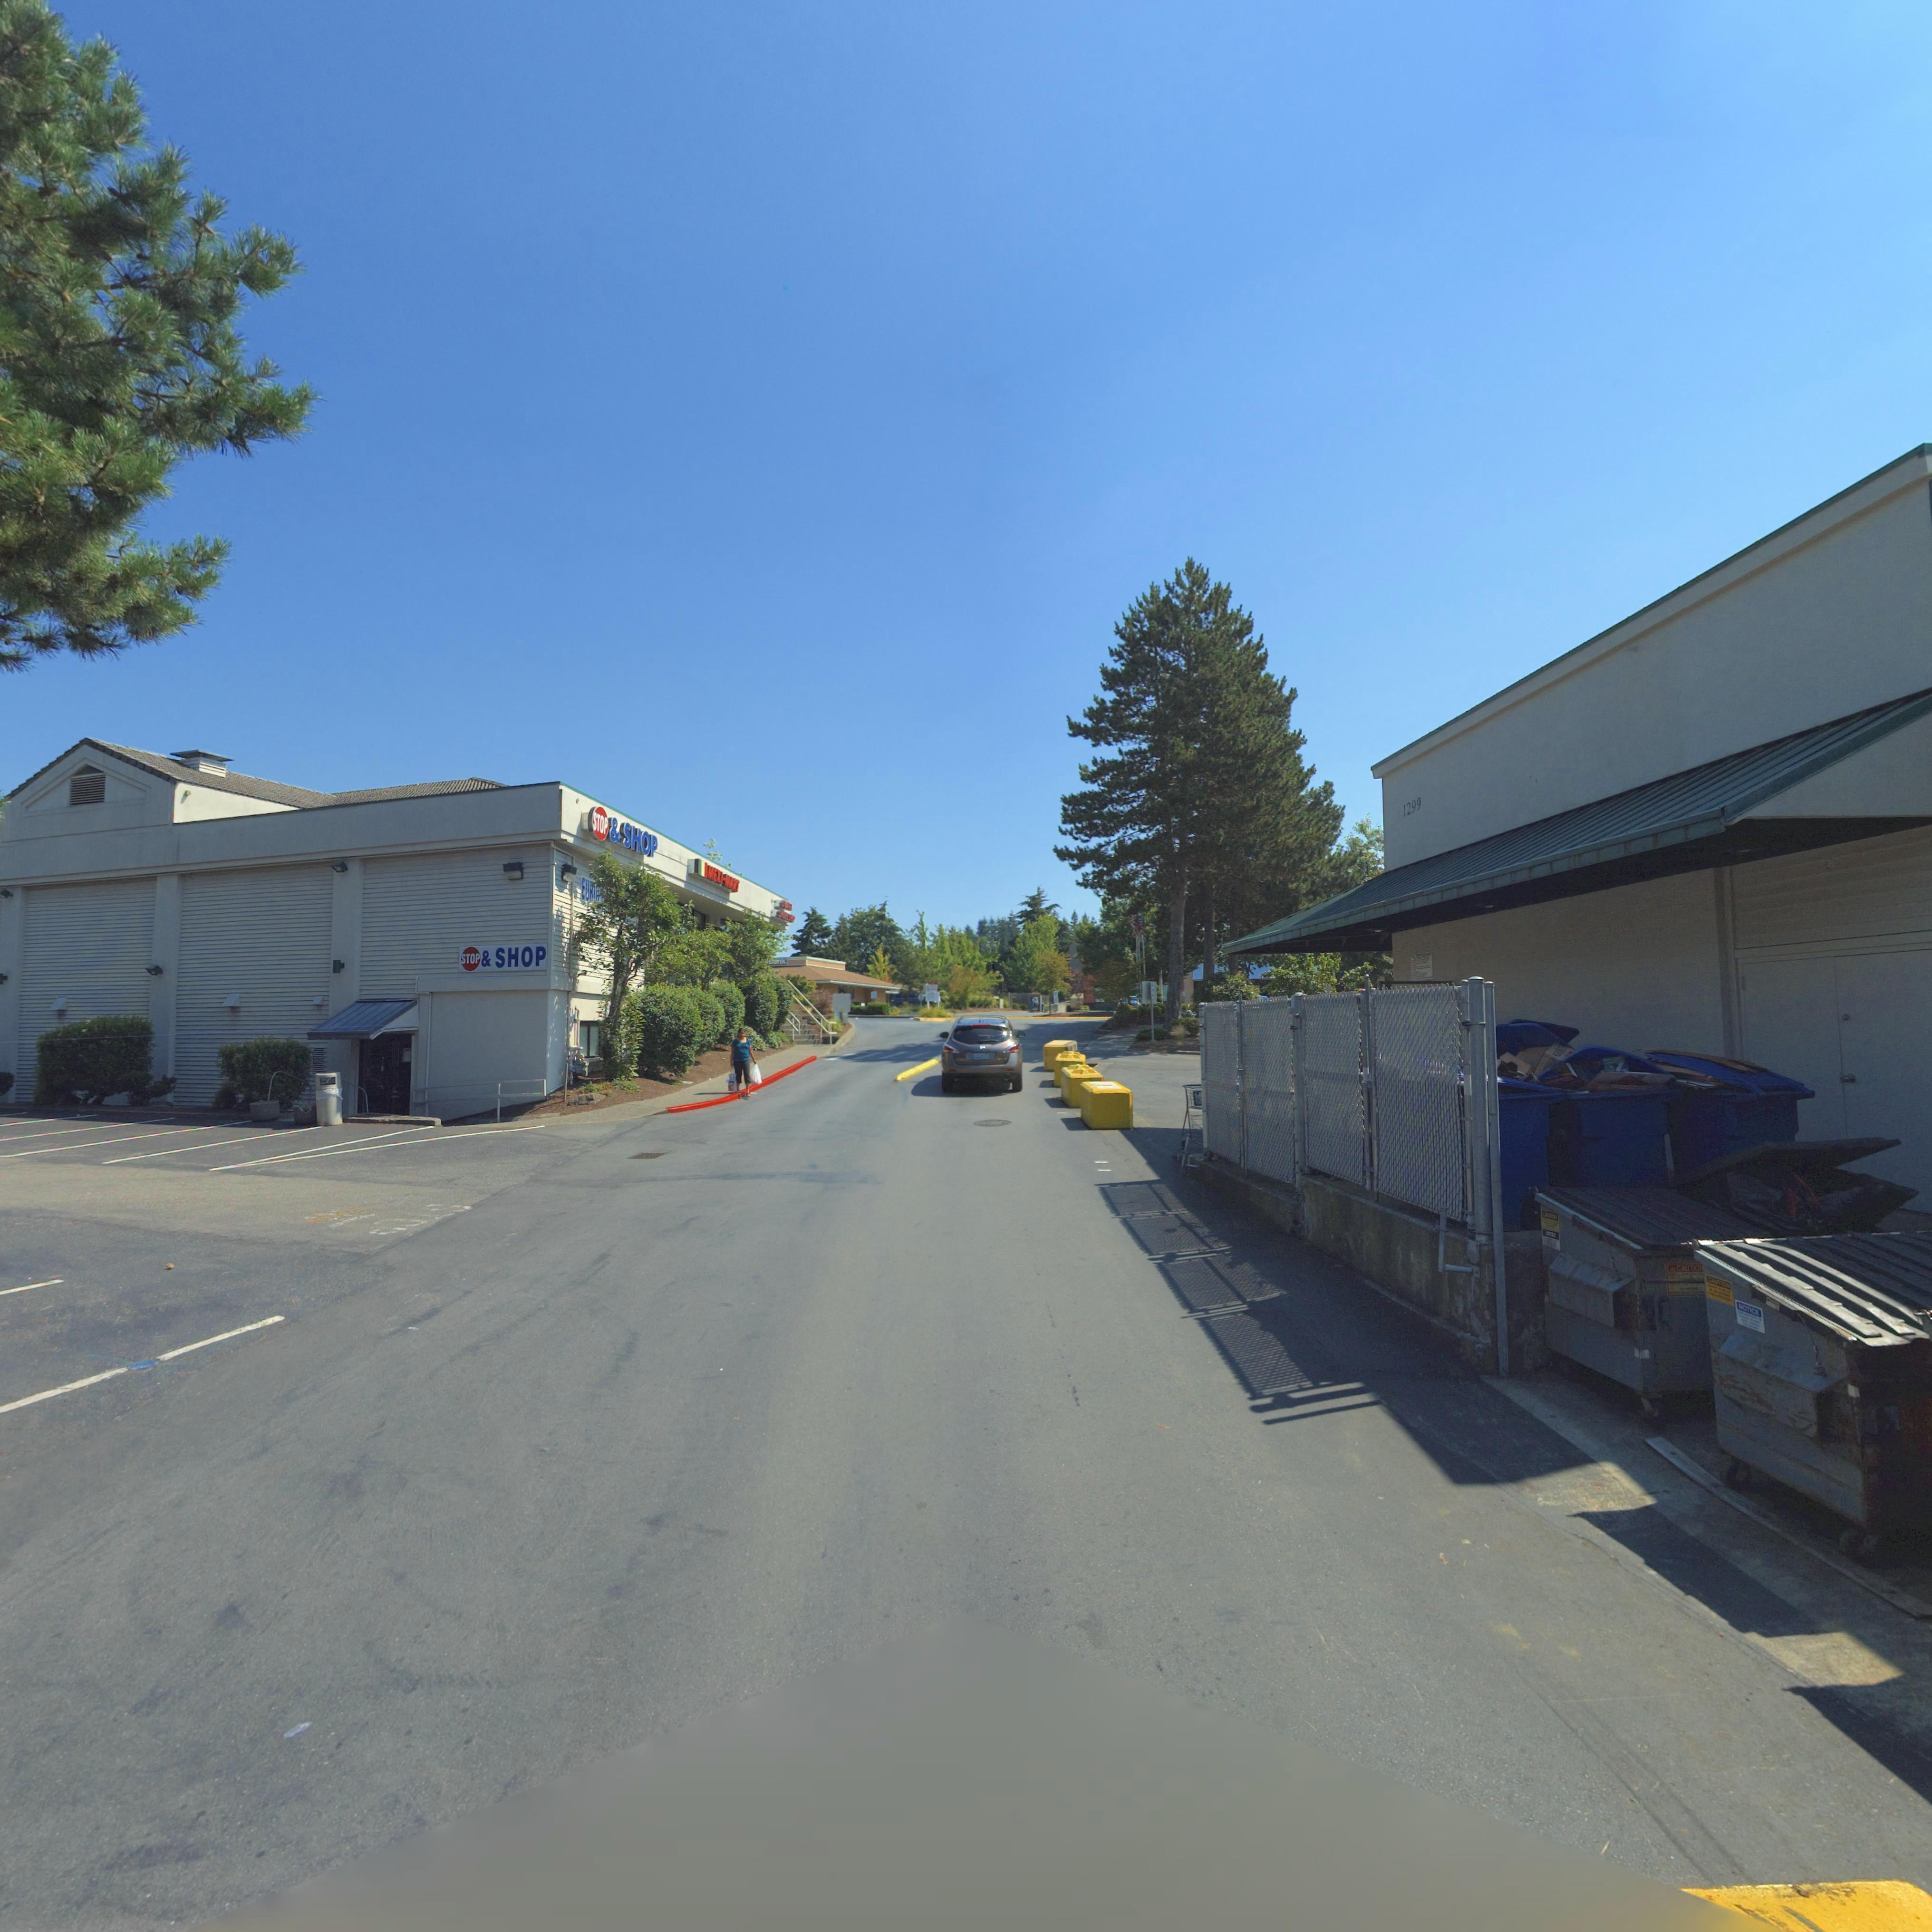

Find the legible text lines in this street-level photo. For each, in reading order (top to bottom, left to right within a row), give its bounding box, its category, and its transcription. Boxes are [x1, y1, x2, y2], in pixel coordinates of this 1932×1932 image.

[1402, 795, 1422, 818] StreetNumber: 1299
[592, 811, 608, 835] BusinessName: STOP
[622, 821, 659, 859] BusinessName: SHOP
[707, 864, 740, 893] BusinessName: MEXI*****
[461, 953, 481, 964] BusinessName: STOP